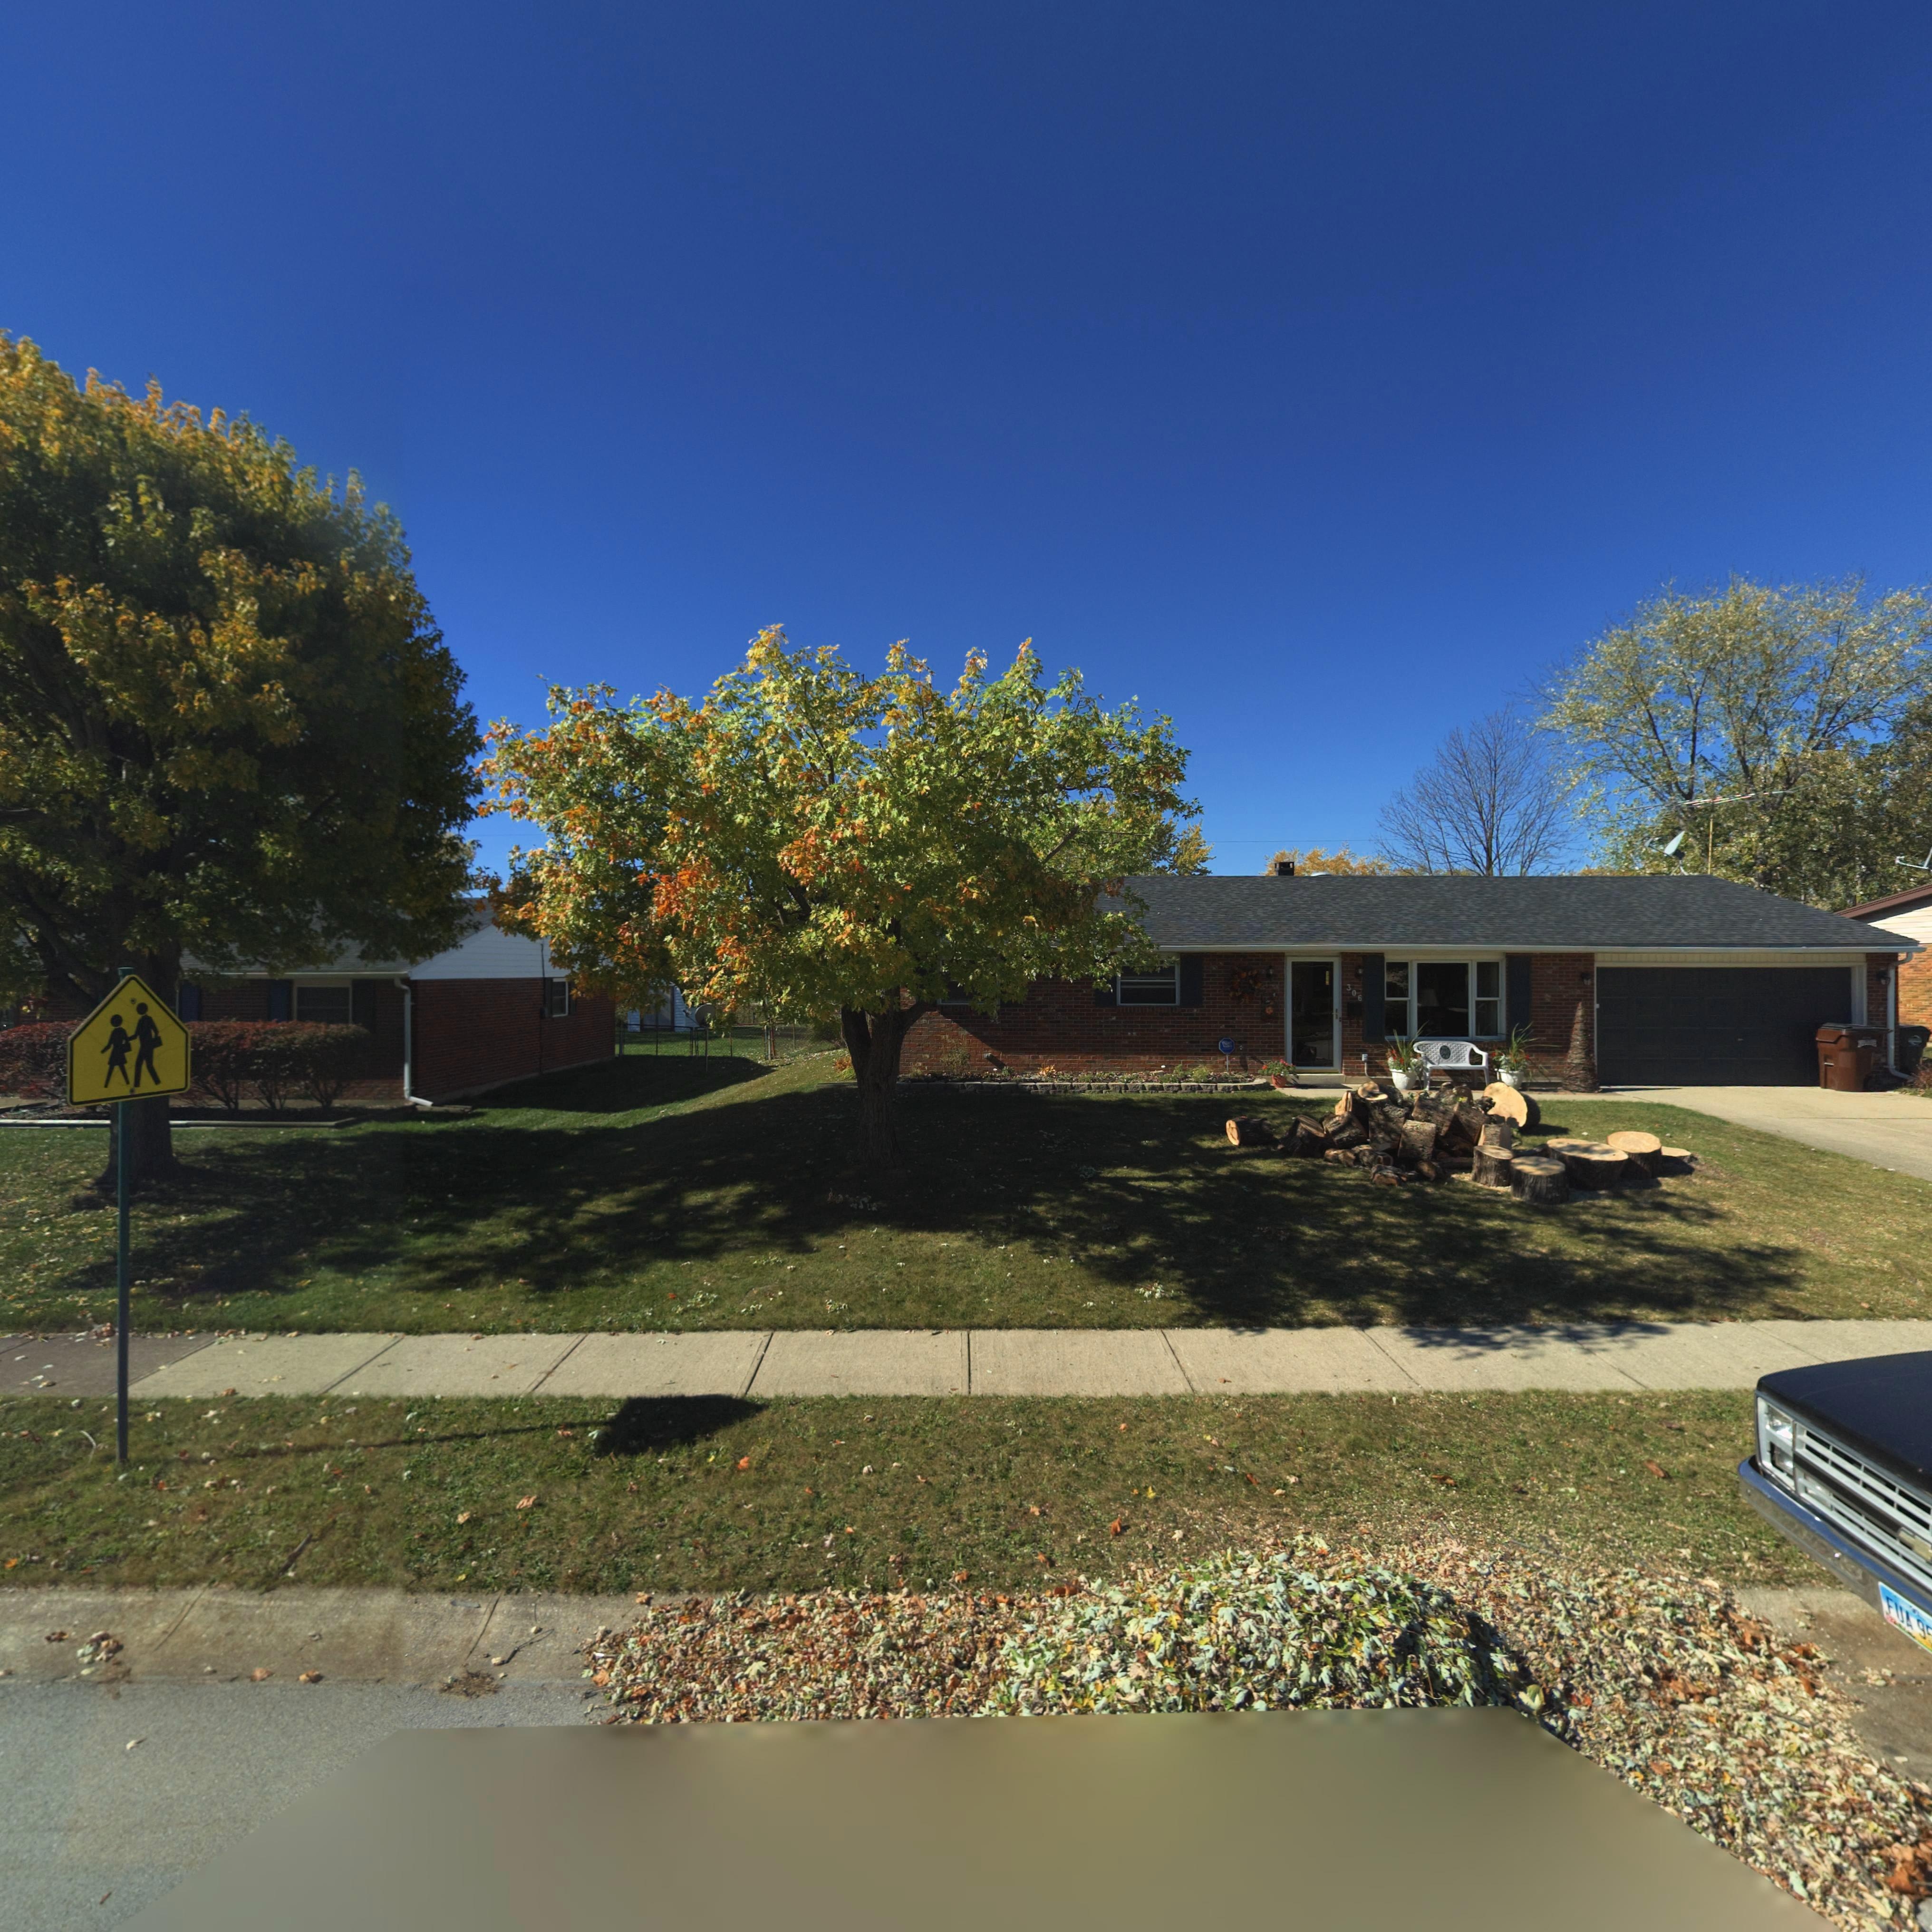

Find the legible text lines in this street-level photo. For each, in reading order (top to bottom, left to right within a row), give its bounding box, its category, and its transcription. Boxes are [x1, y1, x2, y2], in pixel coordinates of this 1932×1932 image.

[1346, 984, 1362, 1002] StreetNumber: 306